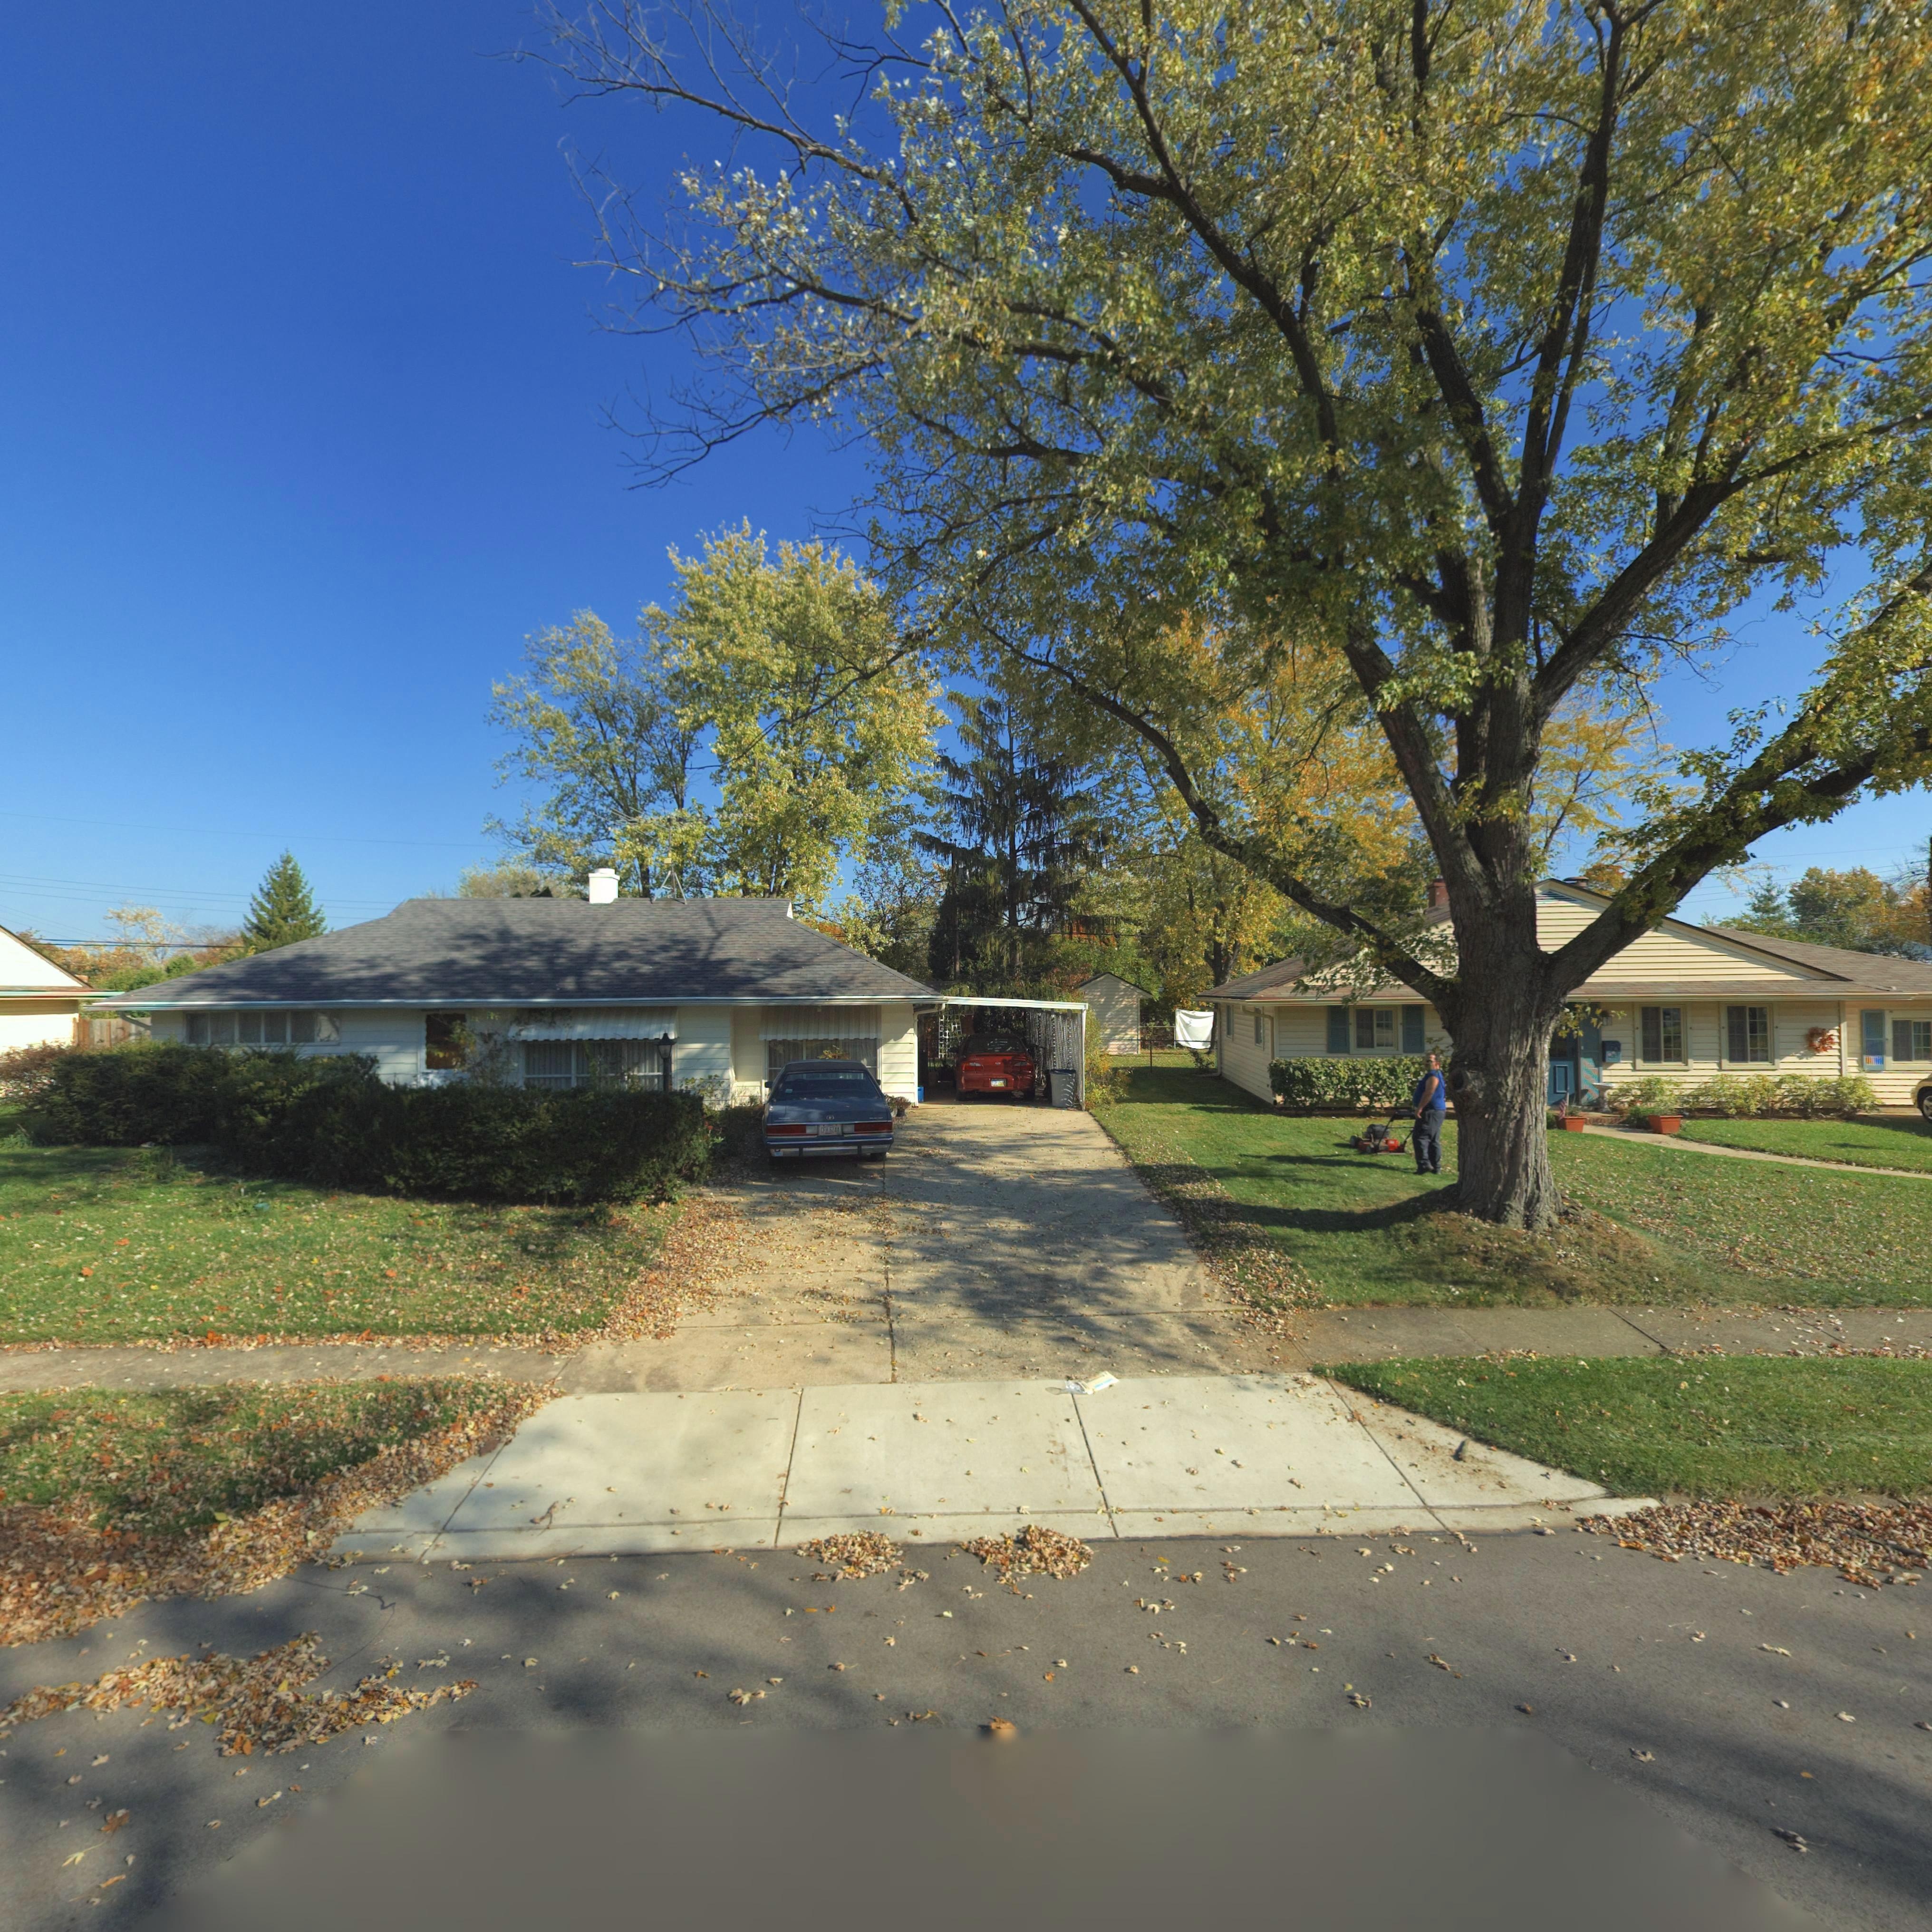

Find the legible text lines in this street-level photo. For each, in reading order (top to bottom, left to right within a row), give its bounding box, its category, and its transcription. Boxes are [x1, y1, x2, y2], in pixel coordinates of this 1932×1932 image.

[820, 1126, 839, 1133] None: CFM 6244